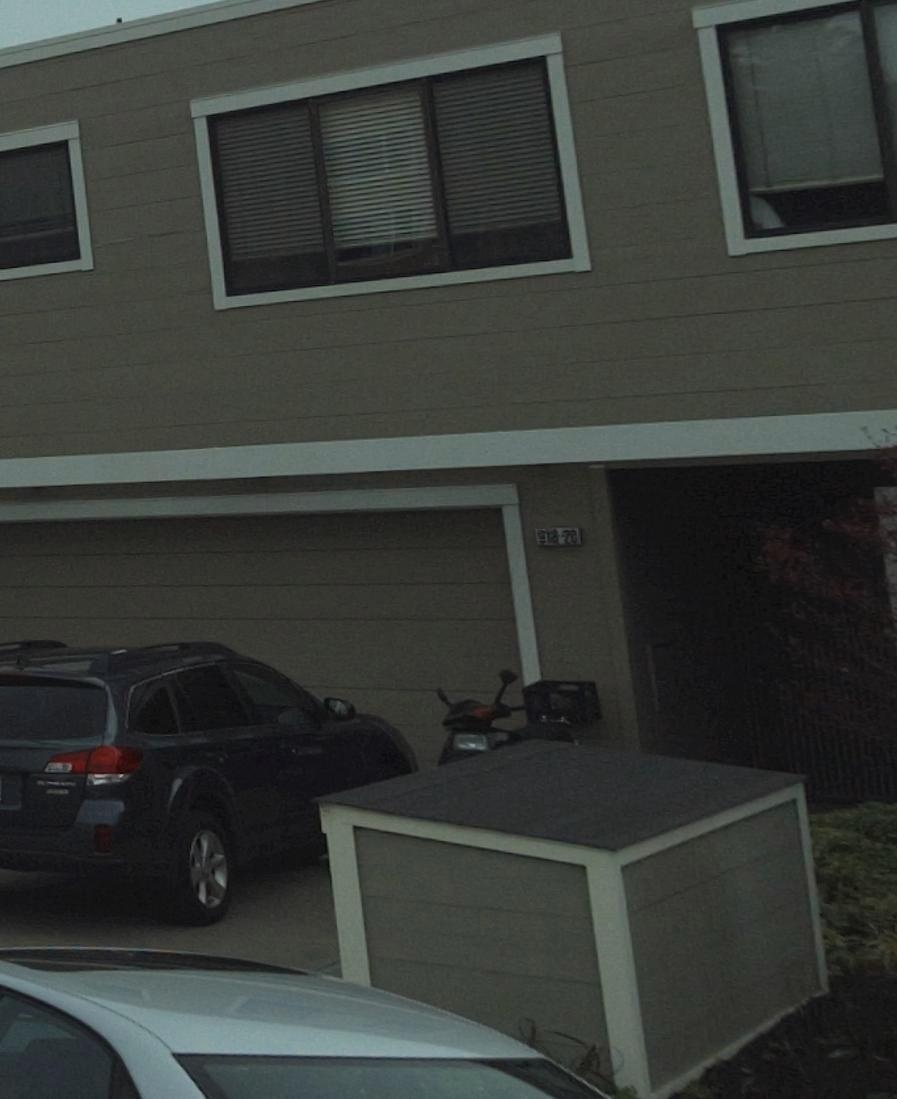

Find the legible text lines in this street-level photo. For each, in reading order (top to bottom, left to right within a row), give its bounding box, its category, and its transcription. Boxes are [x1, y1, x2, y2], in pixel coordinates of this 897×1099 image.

[537, 528, 579, 546] StreetNumber: 918-20